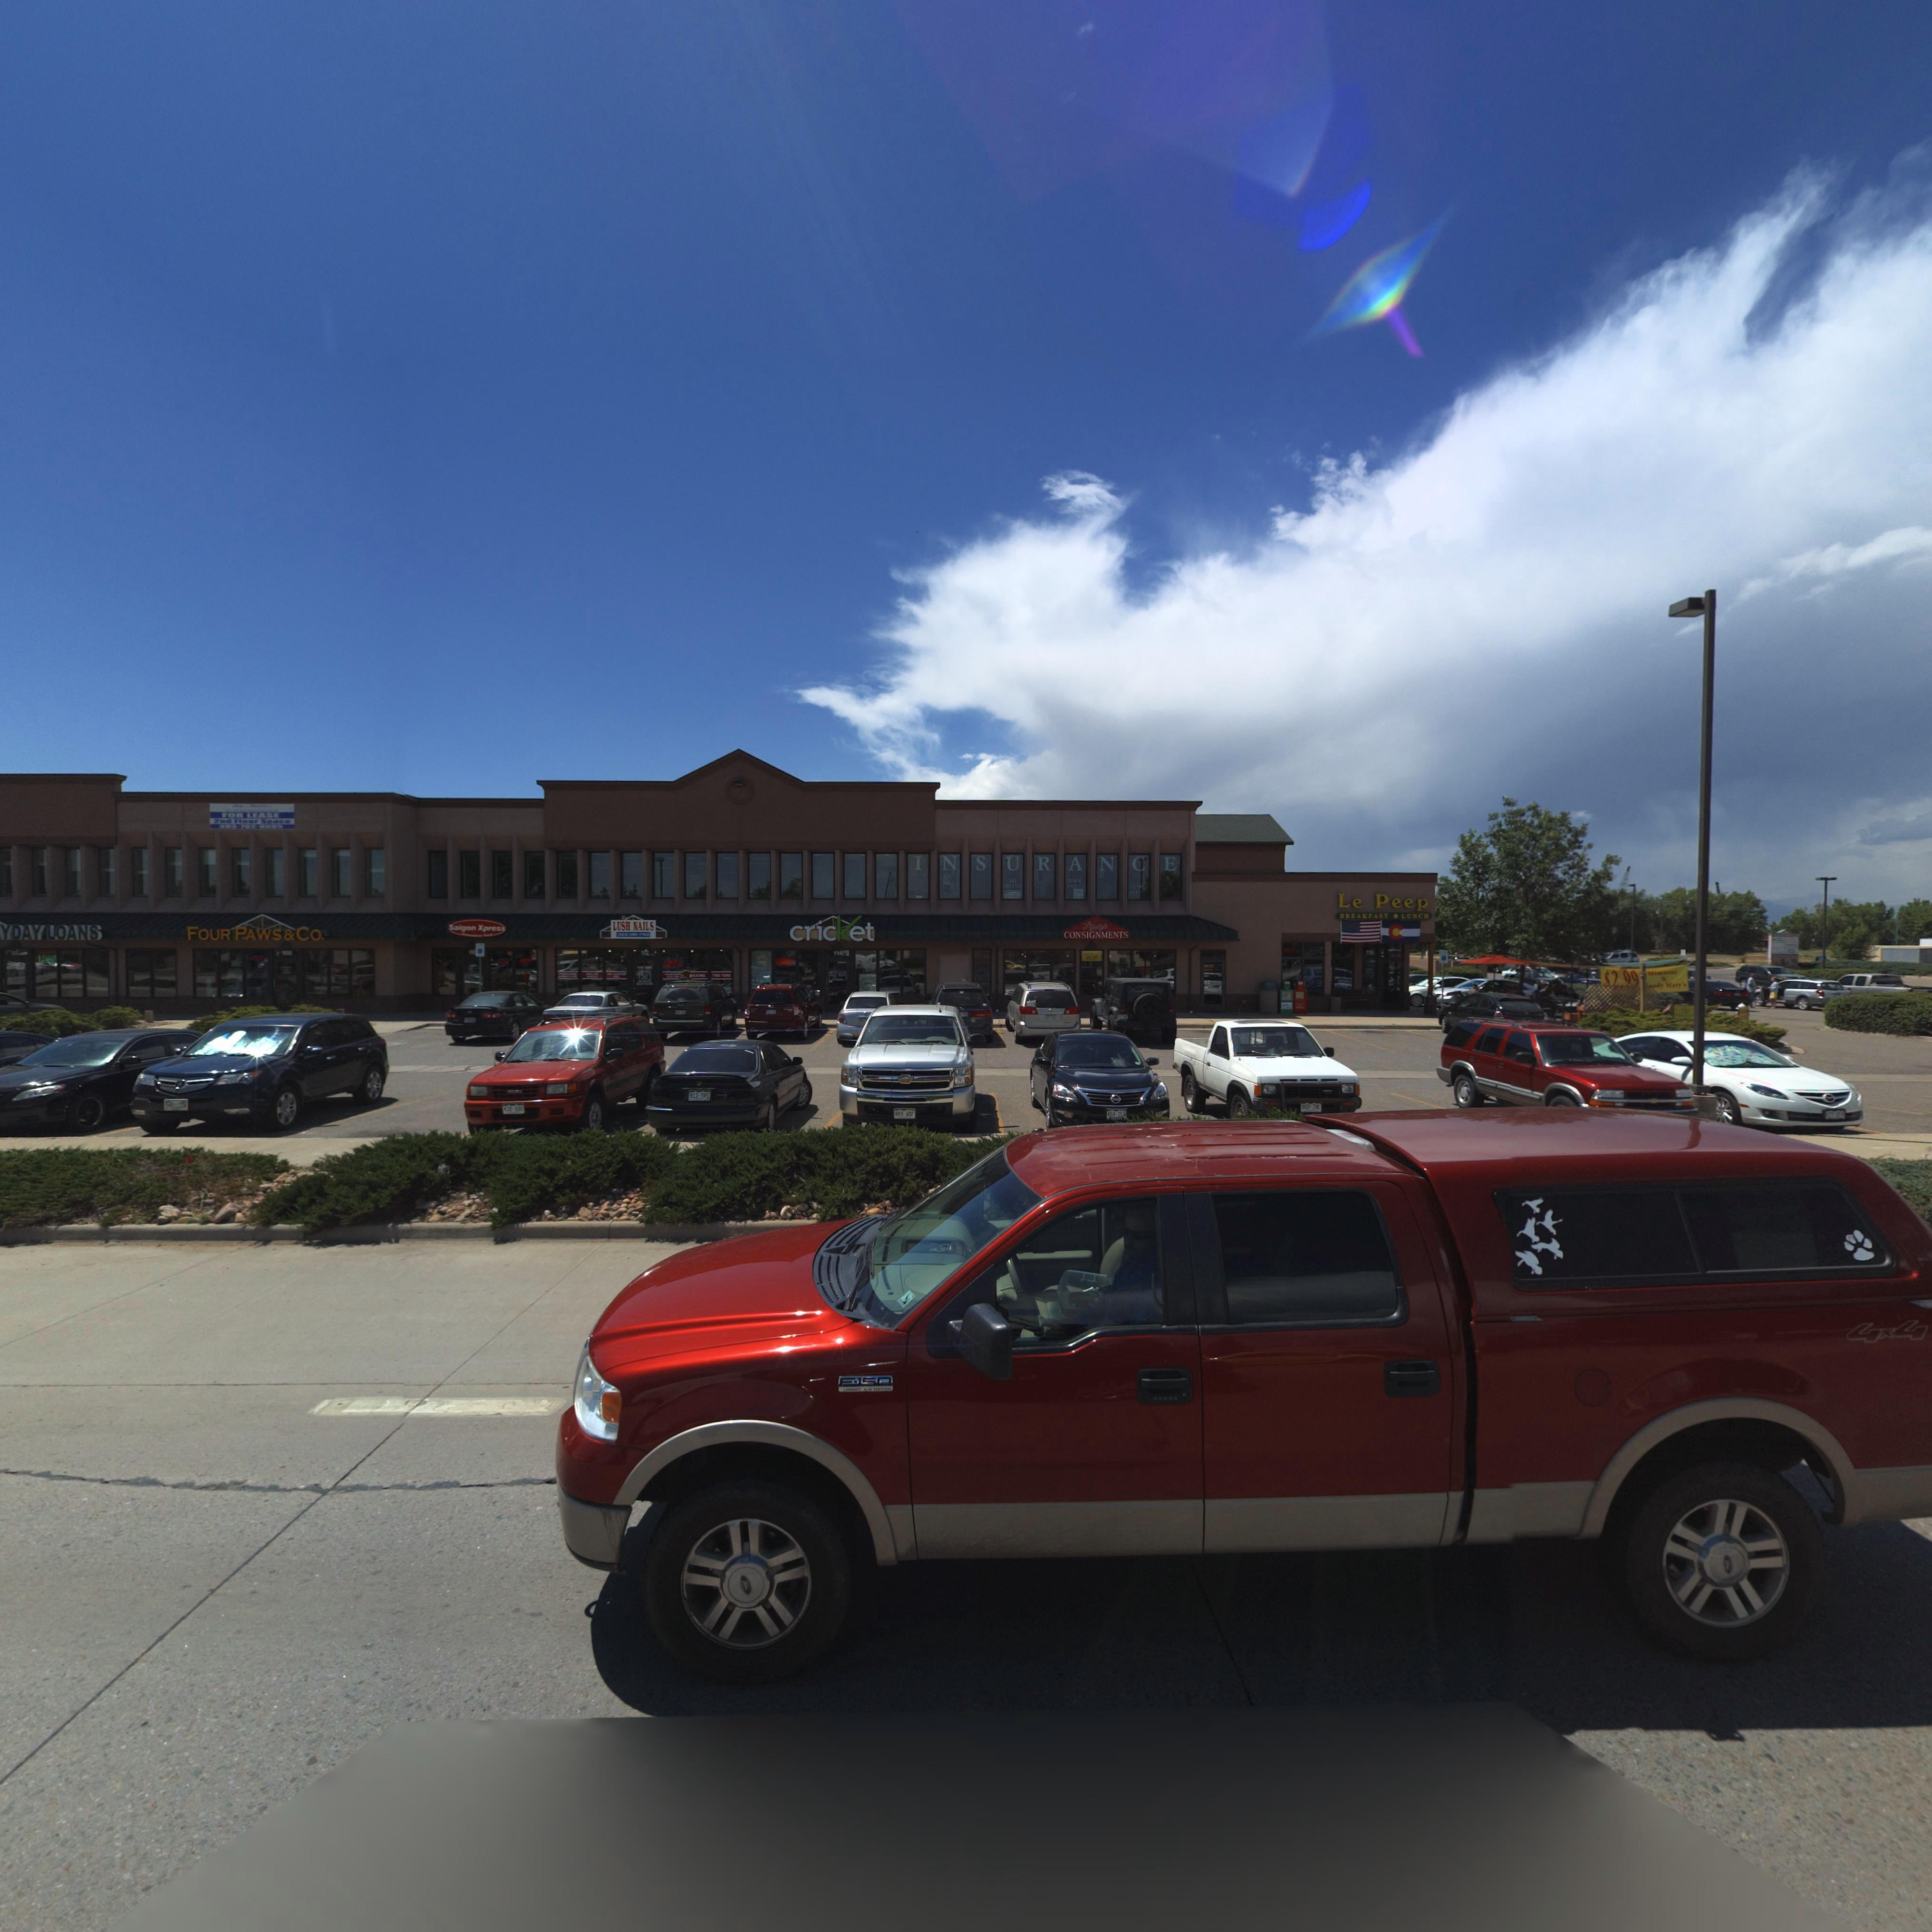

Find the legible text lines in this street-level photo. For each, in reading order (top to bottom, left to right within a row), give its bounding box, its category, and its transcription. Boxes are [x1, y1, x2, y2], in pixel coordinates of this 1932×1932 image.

[1338, 893, 1428, 911] BusinessName: Le Peep
[0, 924, 99, 940] BusinessName: YDAY LOANS
[186, 926, 325, 941] BusinessName: FOUR PAWS & CO.
[448, 924, 506, 932] BusinessName: Saigon Xpress
[613, 921, 654, 930] BusinessName: LUSH NAILS
[790, 915, 874, 941] BusinessName: cricKet
[1082, 921, 1109, 931] BusinessName: Lifestyle
[1064, 931, 1129, 938] BusinessName: CONSIGNMENTS
[640, 950, 649, 956] StreetNumber: 112
[833, 950, 842, 956] StreetNumber: 114
[1366, 949, 1374, 954] StreetNumber: 1*5